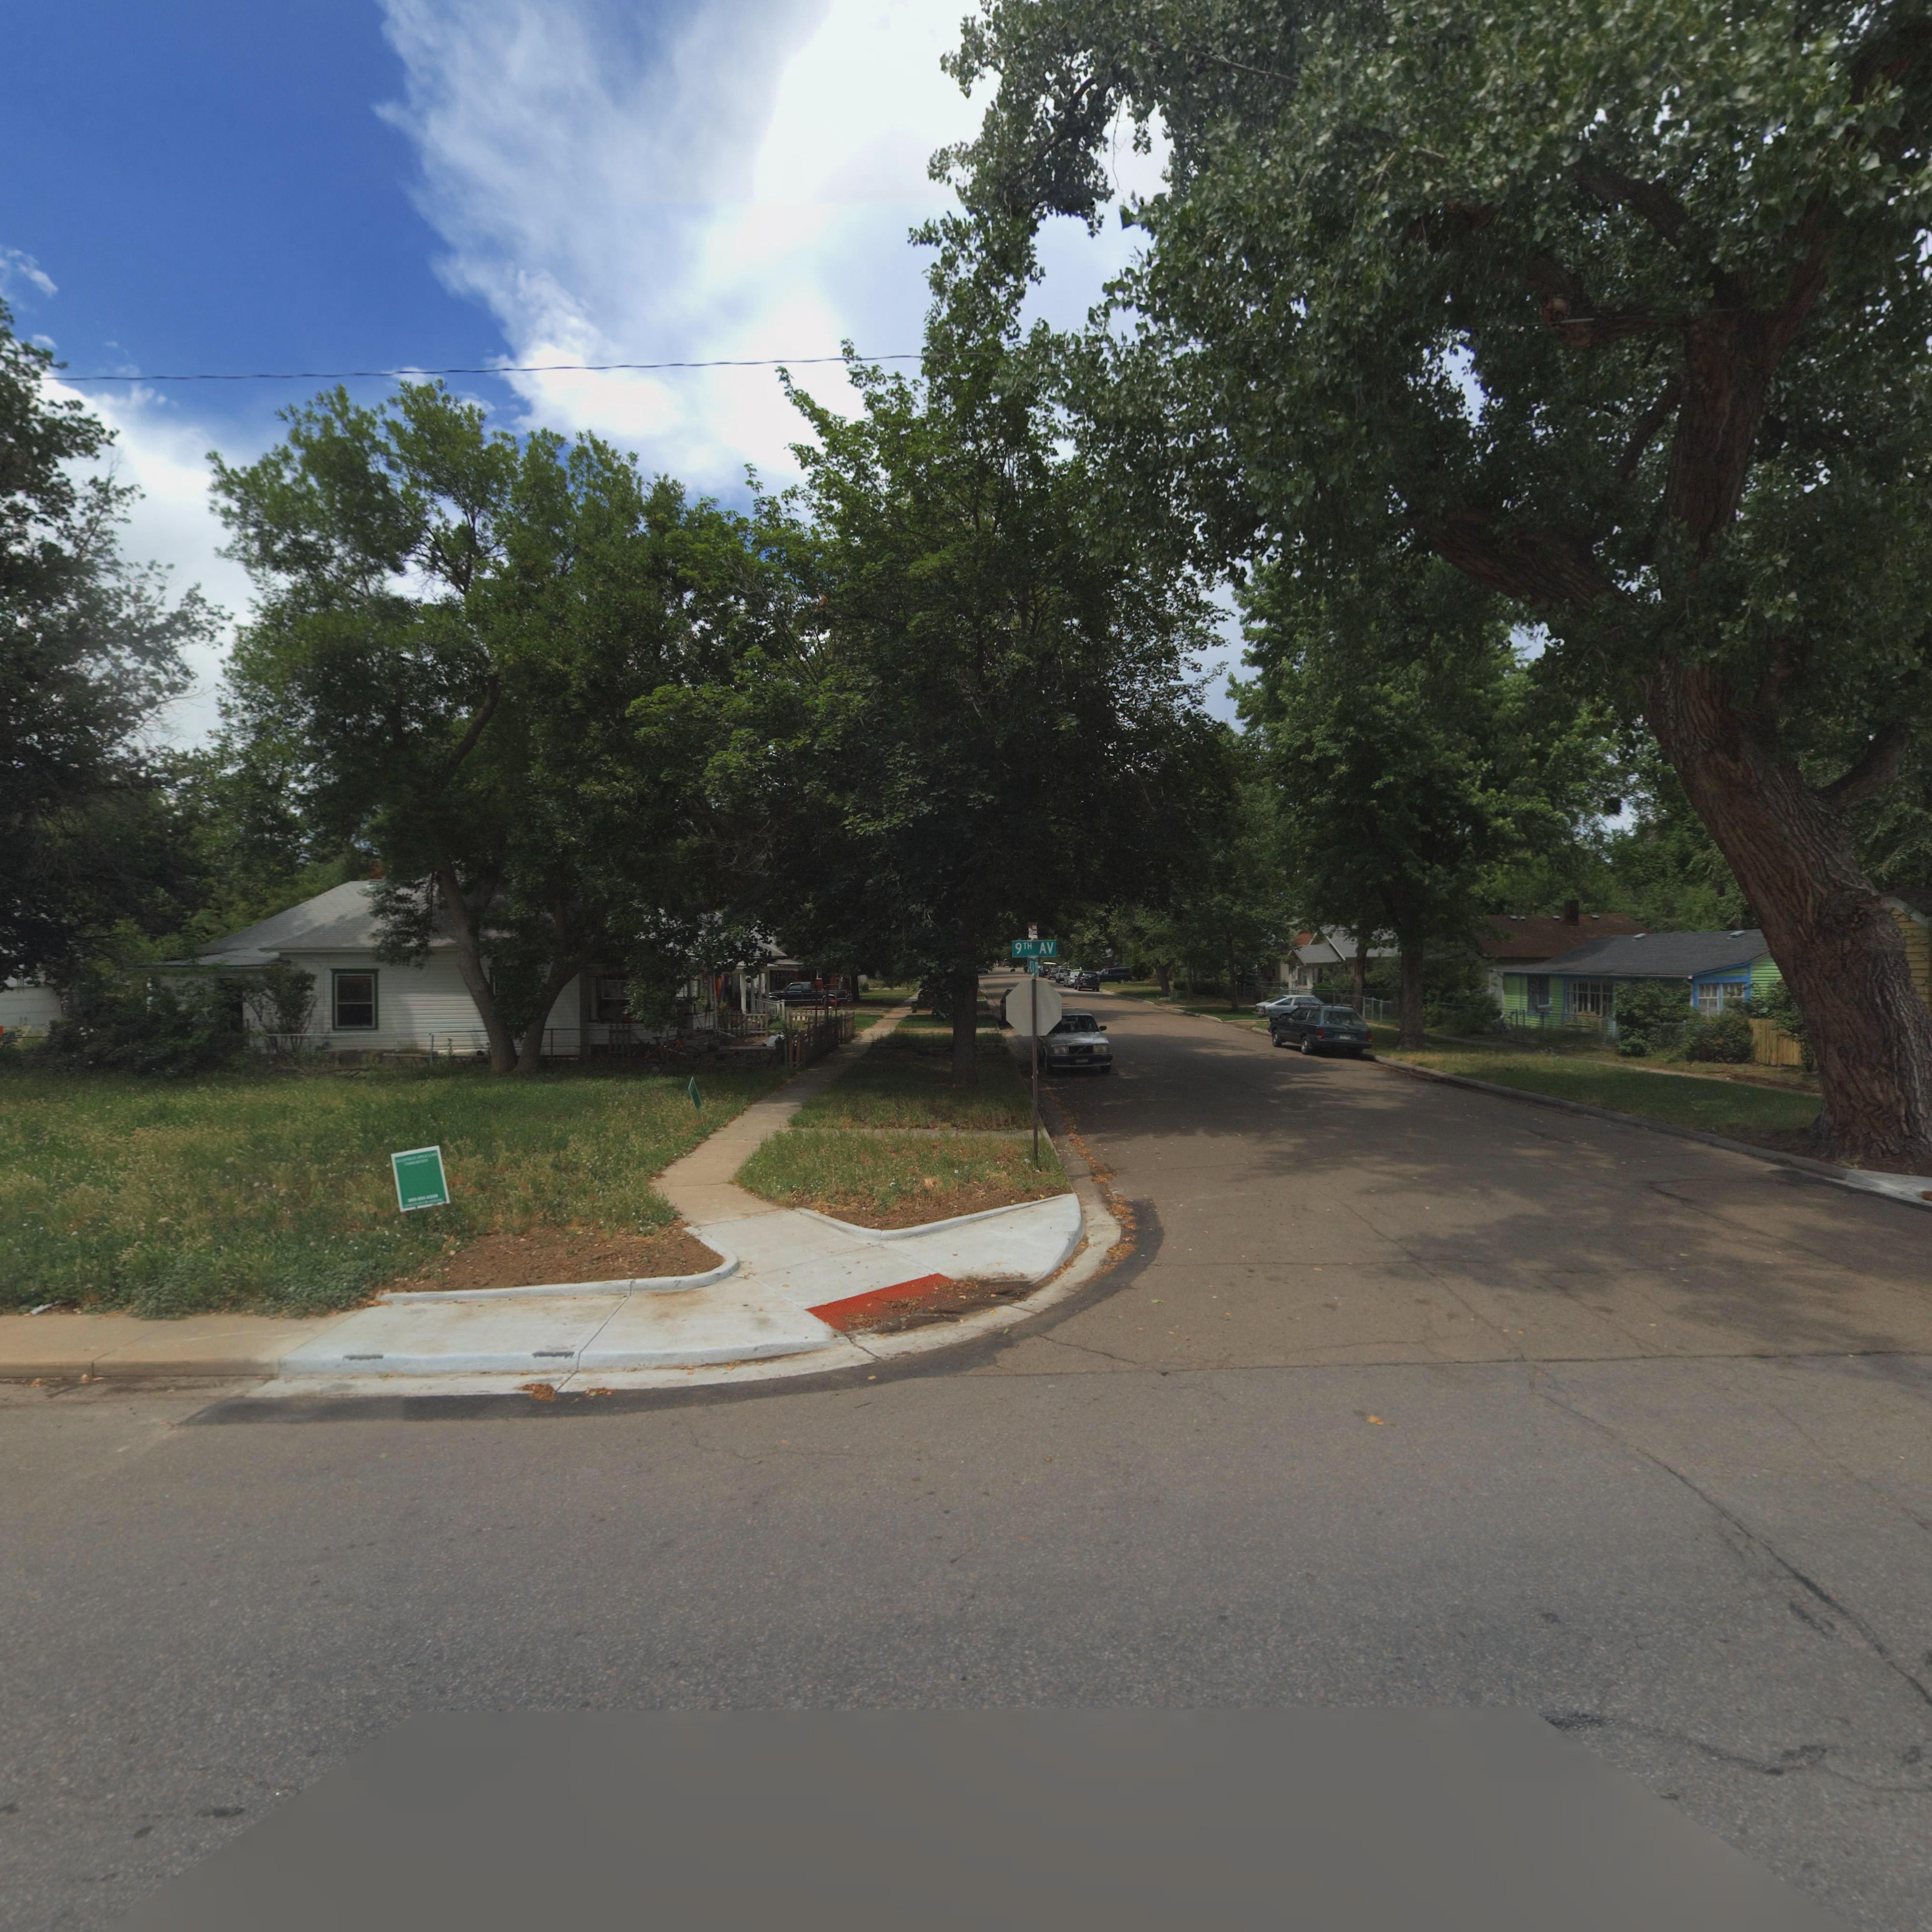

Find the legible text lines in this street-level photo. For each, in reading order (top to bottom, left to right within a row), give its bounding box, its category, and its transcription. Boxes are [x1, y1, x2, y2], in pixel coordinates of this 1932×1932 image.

[1014, 942, 1053, 954] StreetName: 9TH AV